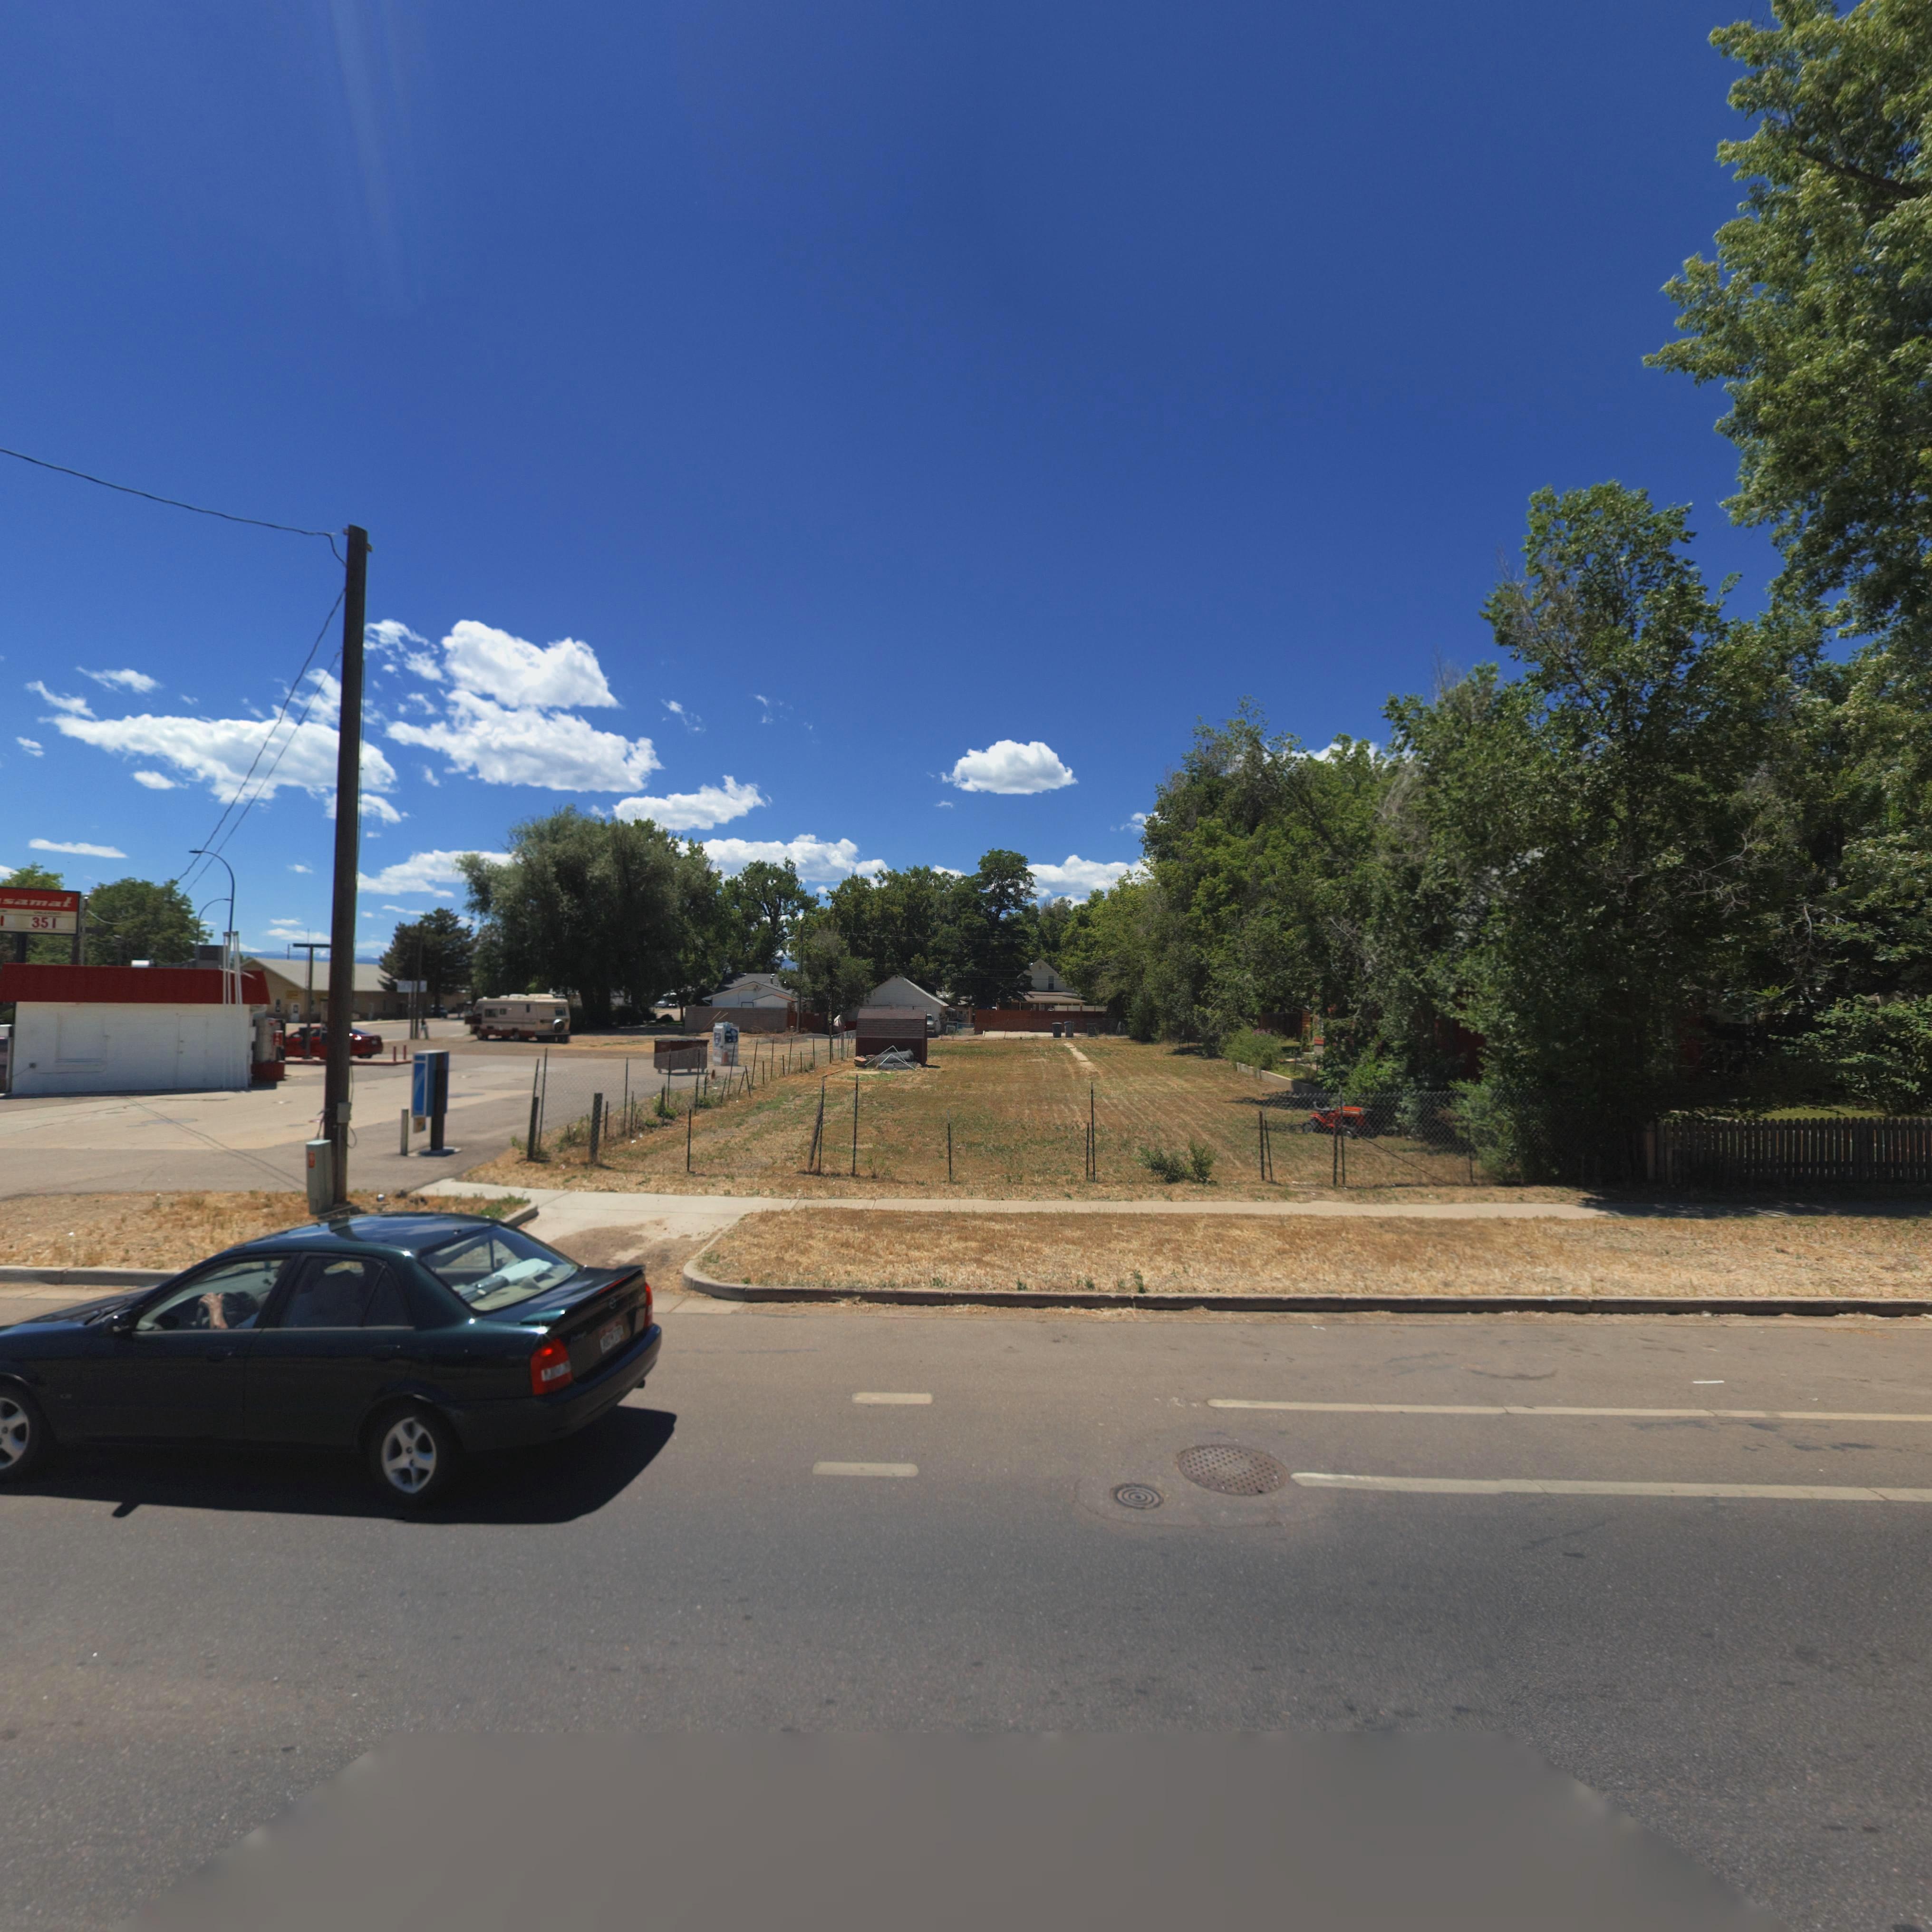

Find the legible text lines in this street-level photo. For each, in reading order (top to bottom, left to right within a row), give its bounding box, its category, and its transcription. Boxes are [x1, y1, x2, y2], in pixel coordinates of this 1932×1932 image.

[1, 896, 72, 908] BusinessName: samat